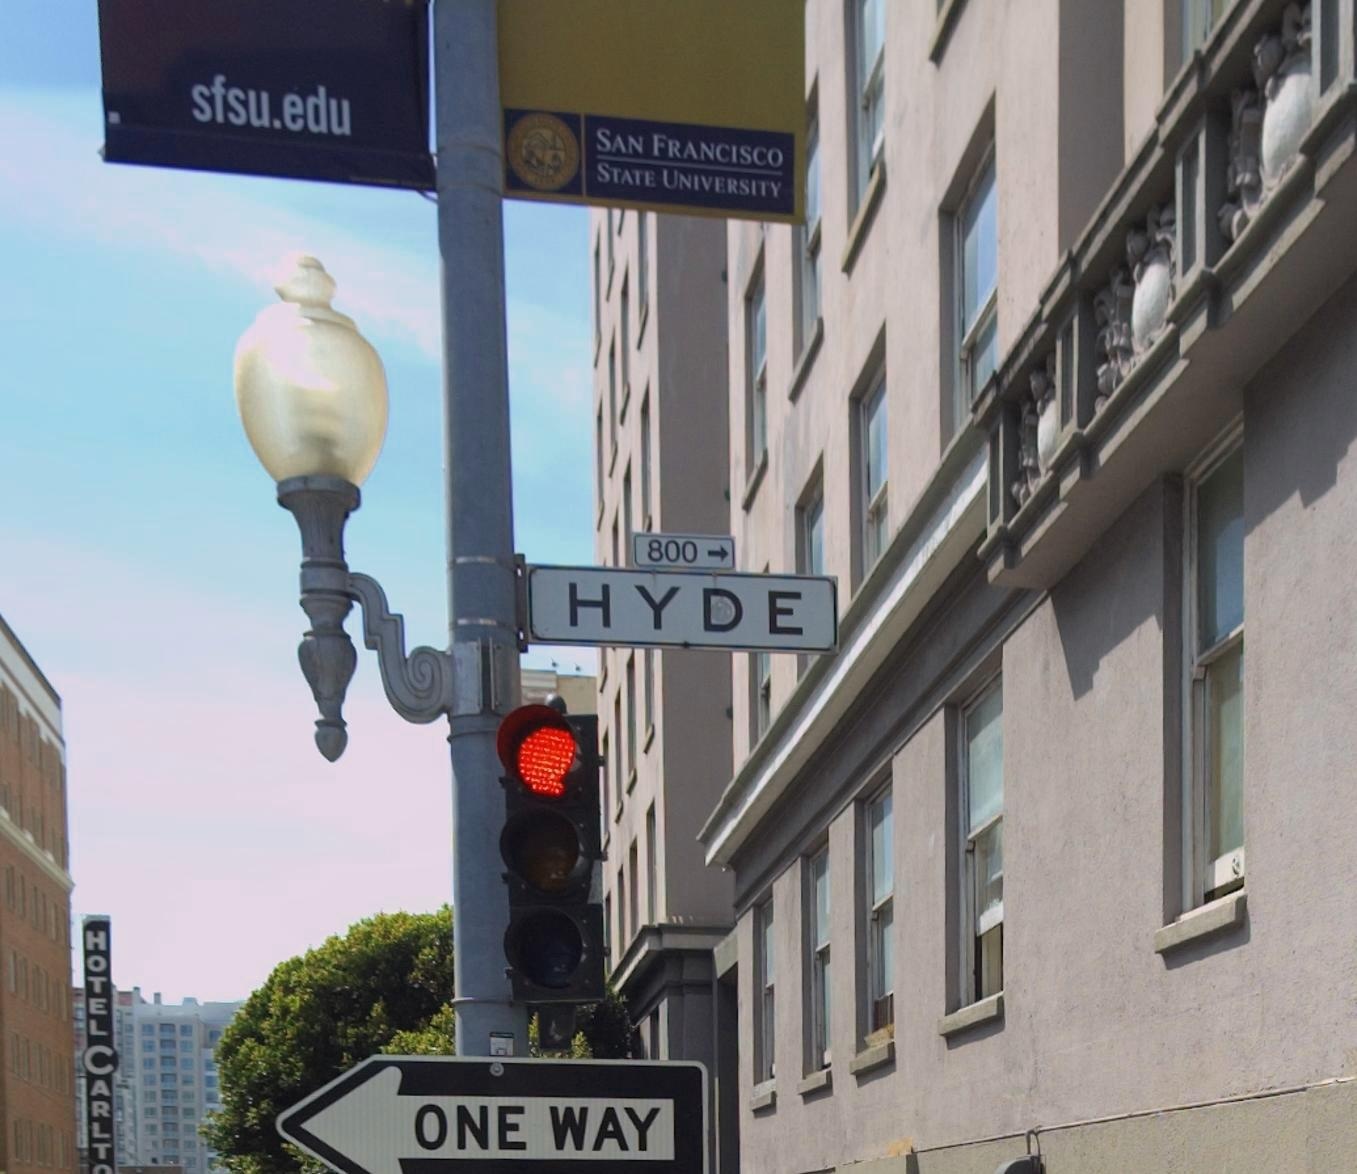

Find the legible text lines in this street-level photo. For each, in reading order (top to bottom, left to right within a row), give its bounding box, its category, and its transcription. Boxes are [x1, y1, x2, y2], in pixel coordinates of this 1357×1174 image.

[188, 70, 356, 140] None: sfsu.edu
[593, 125, 786, 171] None: SAN FRANCISCO
[594, 159, 786, 201] None: STATE UNIVERSITY
[645, 536, 732, 566] StreetNumberRange: 800->
[565, 578, 807, 639] StreetName: HYDE
[81, 925, 120, 1165] BusinessName: HOTEL cARLT
[410, 1100, 665, 1155] None: ONE WAY